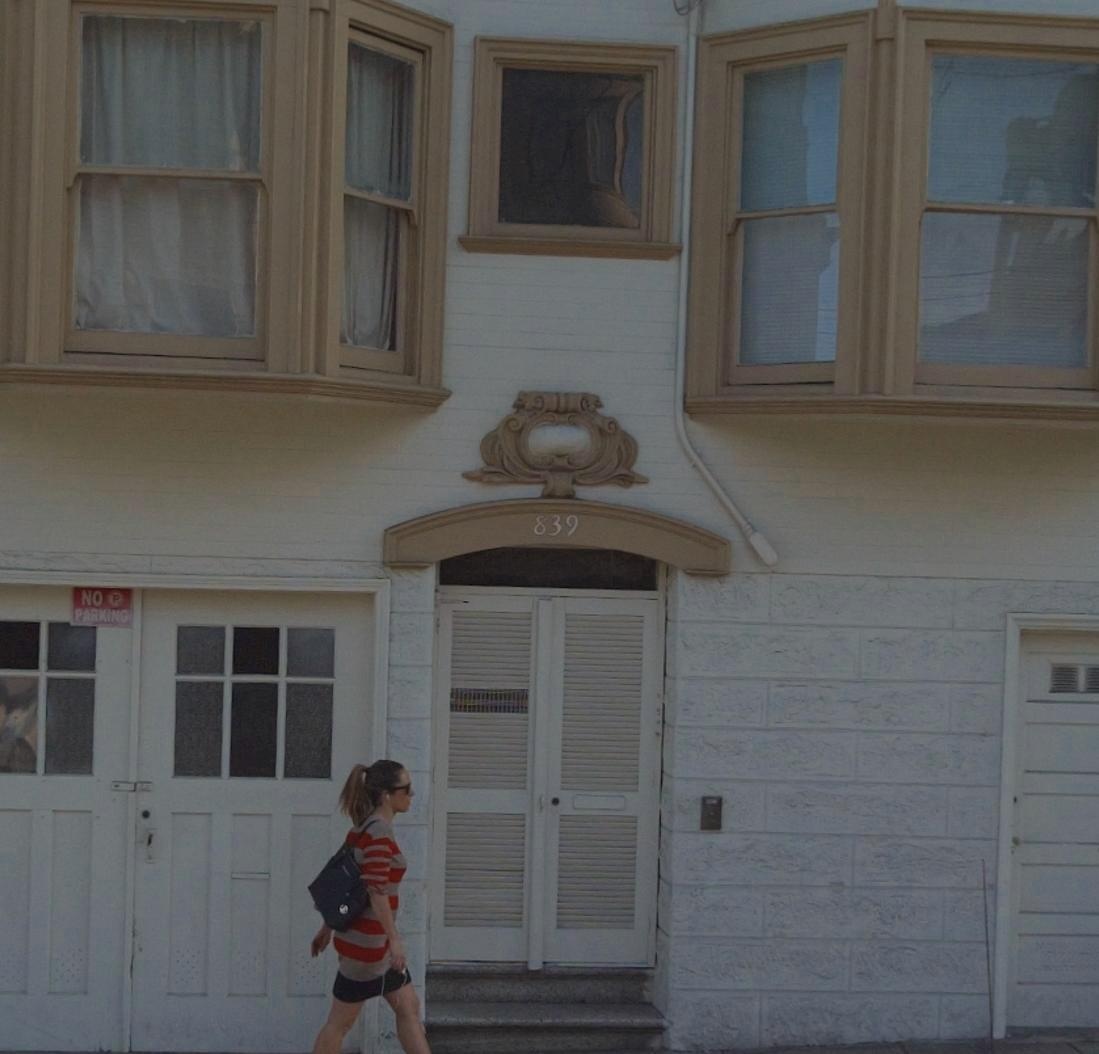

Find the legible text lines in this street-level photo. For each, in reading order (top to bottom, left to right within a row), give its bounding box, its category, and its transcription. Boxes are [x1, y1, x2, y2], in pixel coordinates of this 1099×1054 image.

[532, 510, 581, 541] StreetNumber: 839
[79, 588, 104, 607] None: NO
[73, 606, 130, 625] None: PARKING